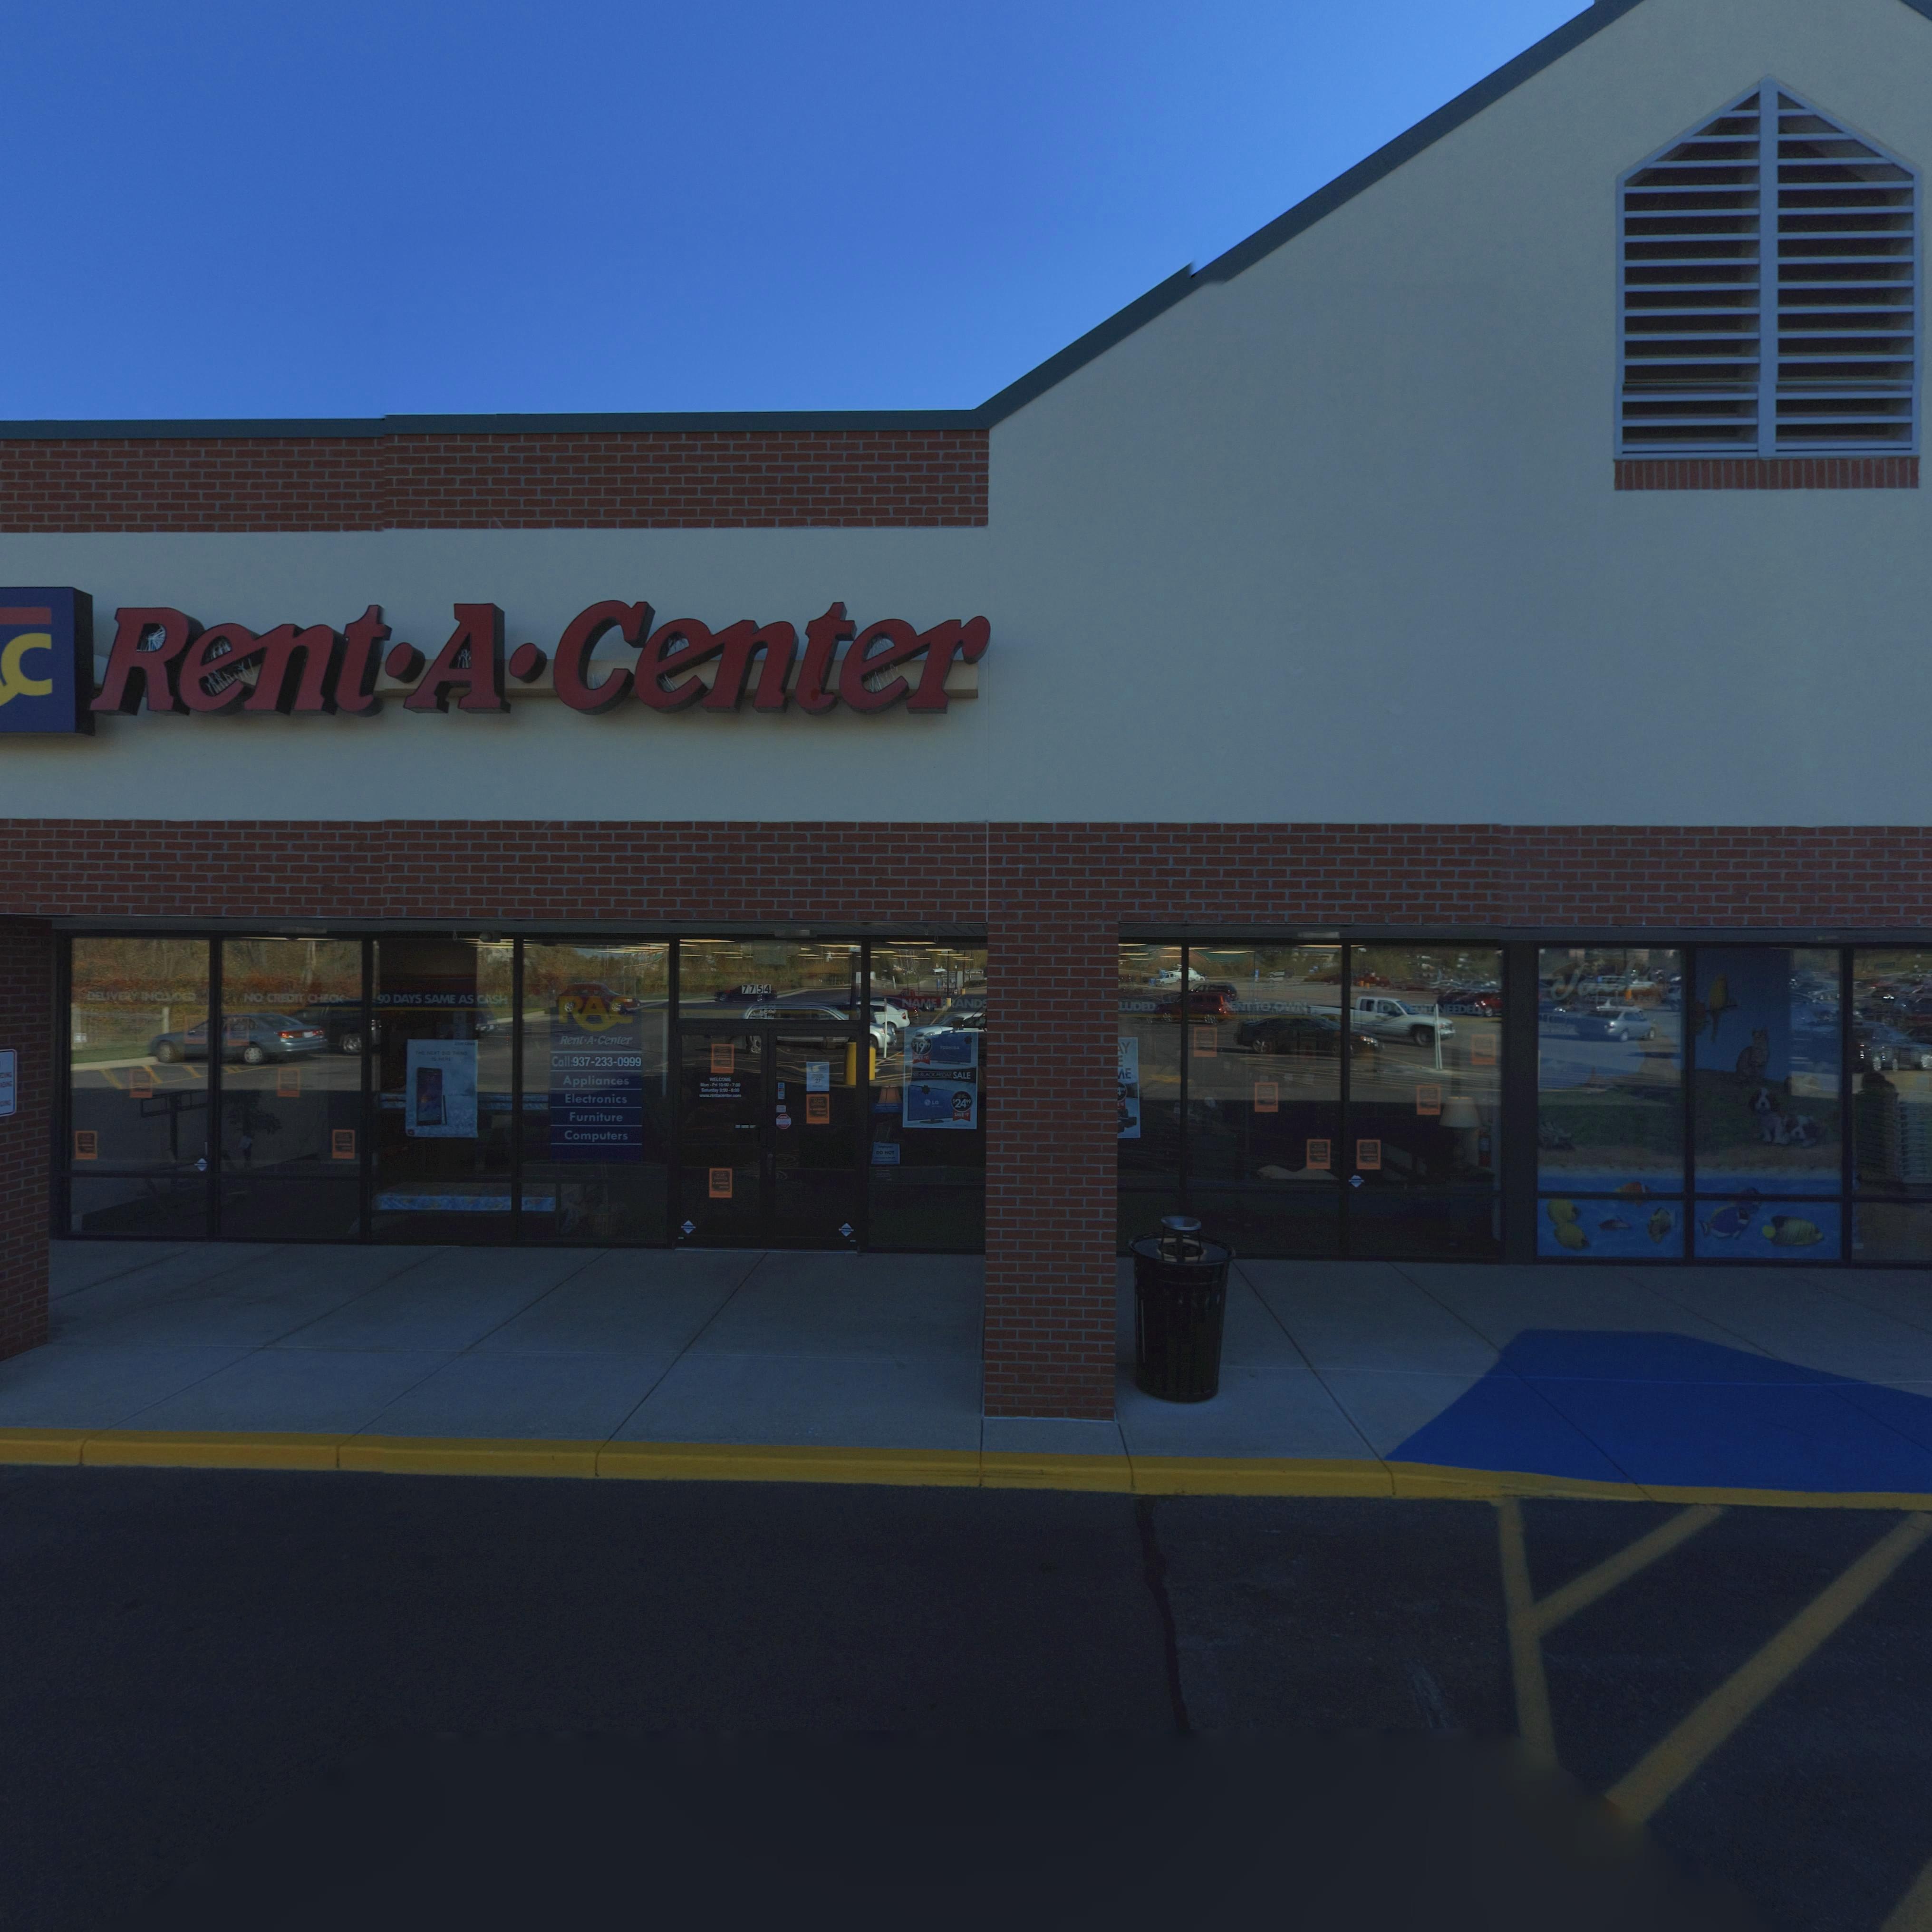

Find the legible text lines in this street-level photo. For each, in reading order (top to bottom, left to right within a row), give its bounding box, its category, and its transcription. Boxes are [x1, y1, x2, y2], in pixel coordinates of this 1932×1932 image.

[742, 984, 771, 994] StreetNumber: 7754